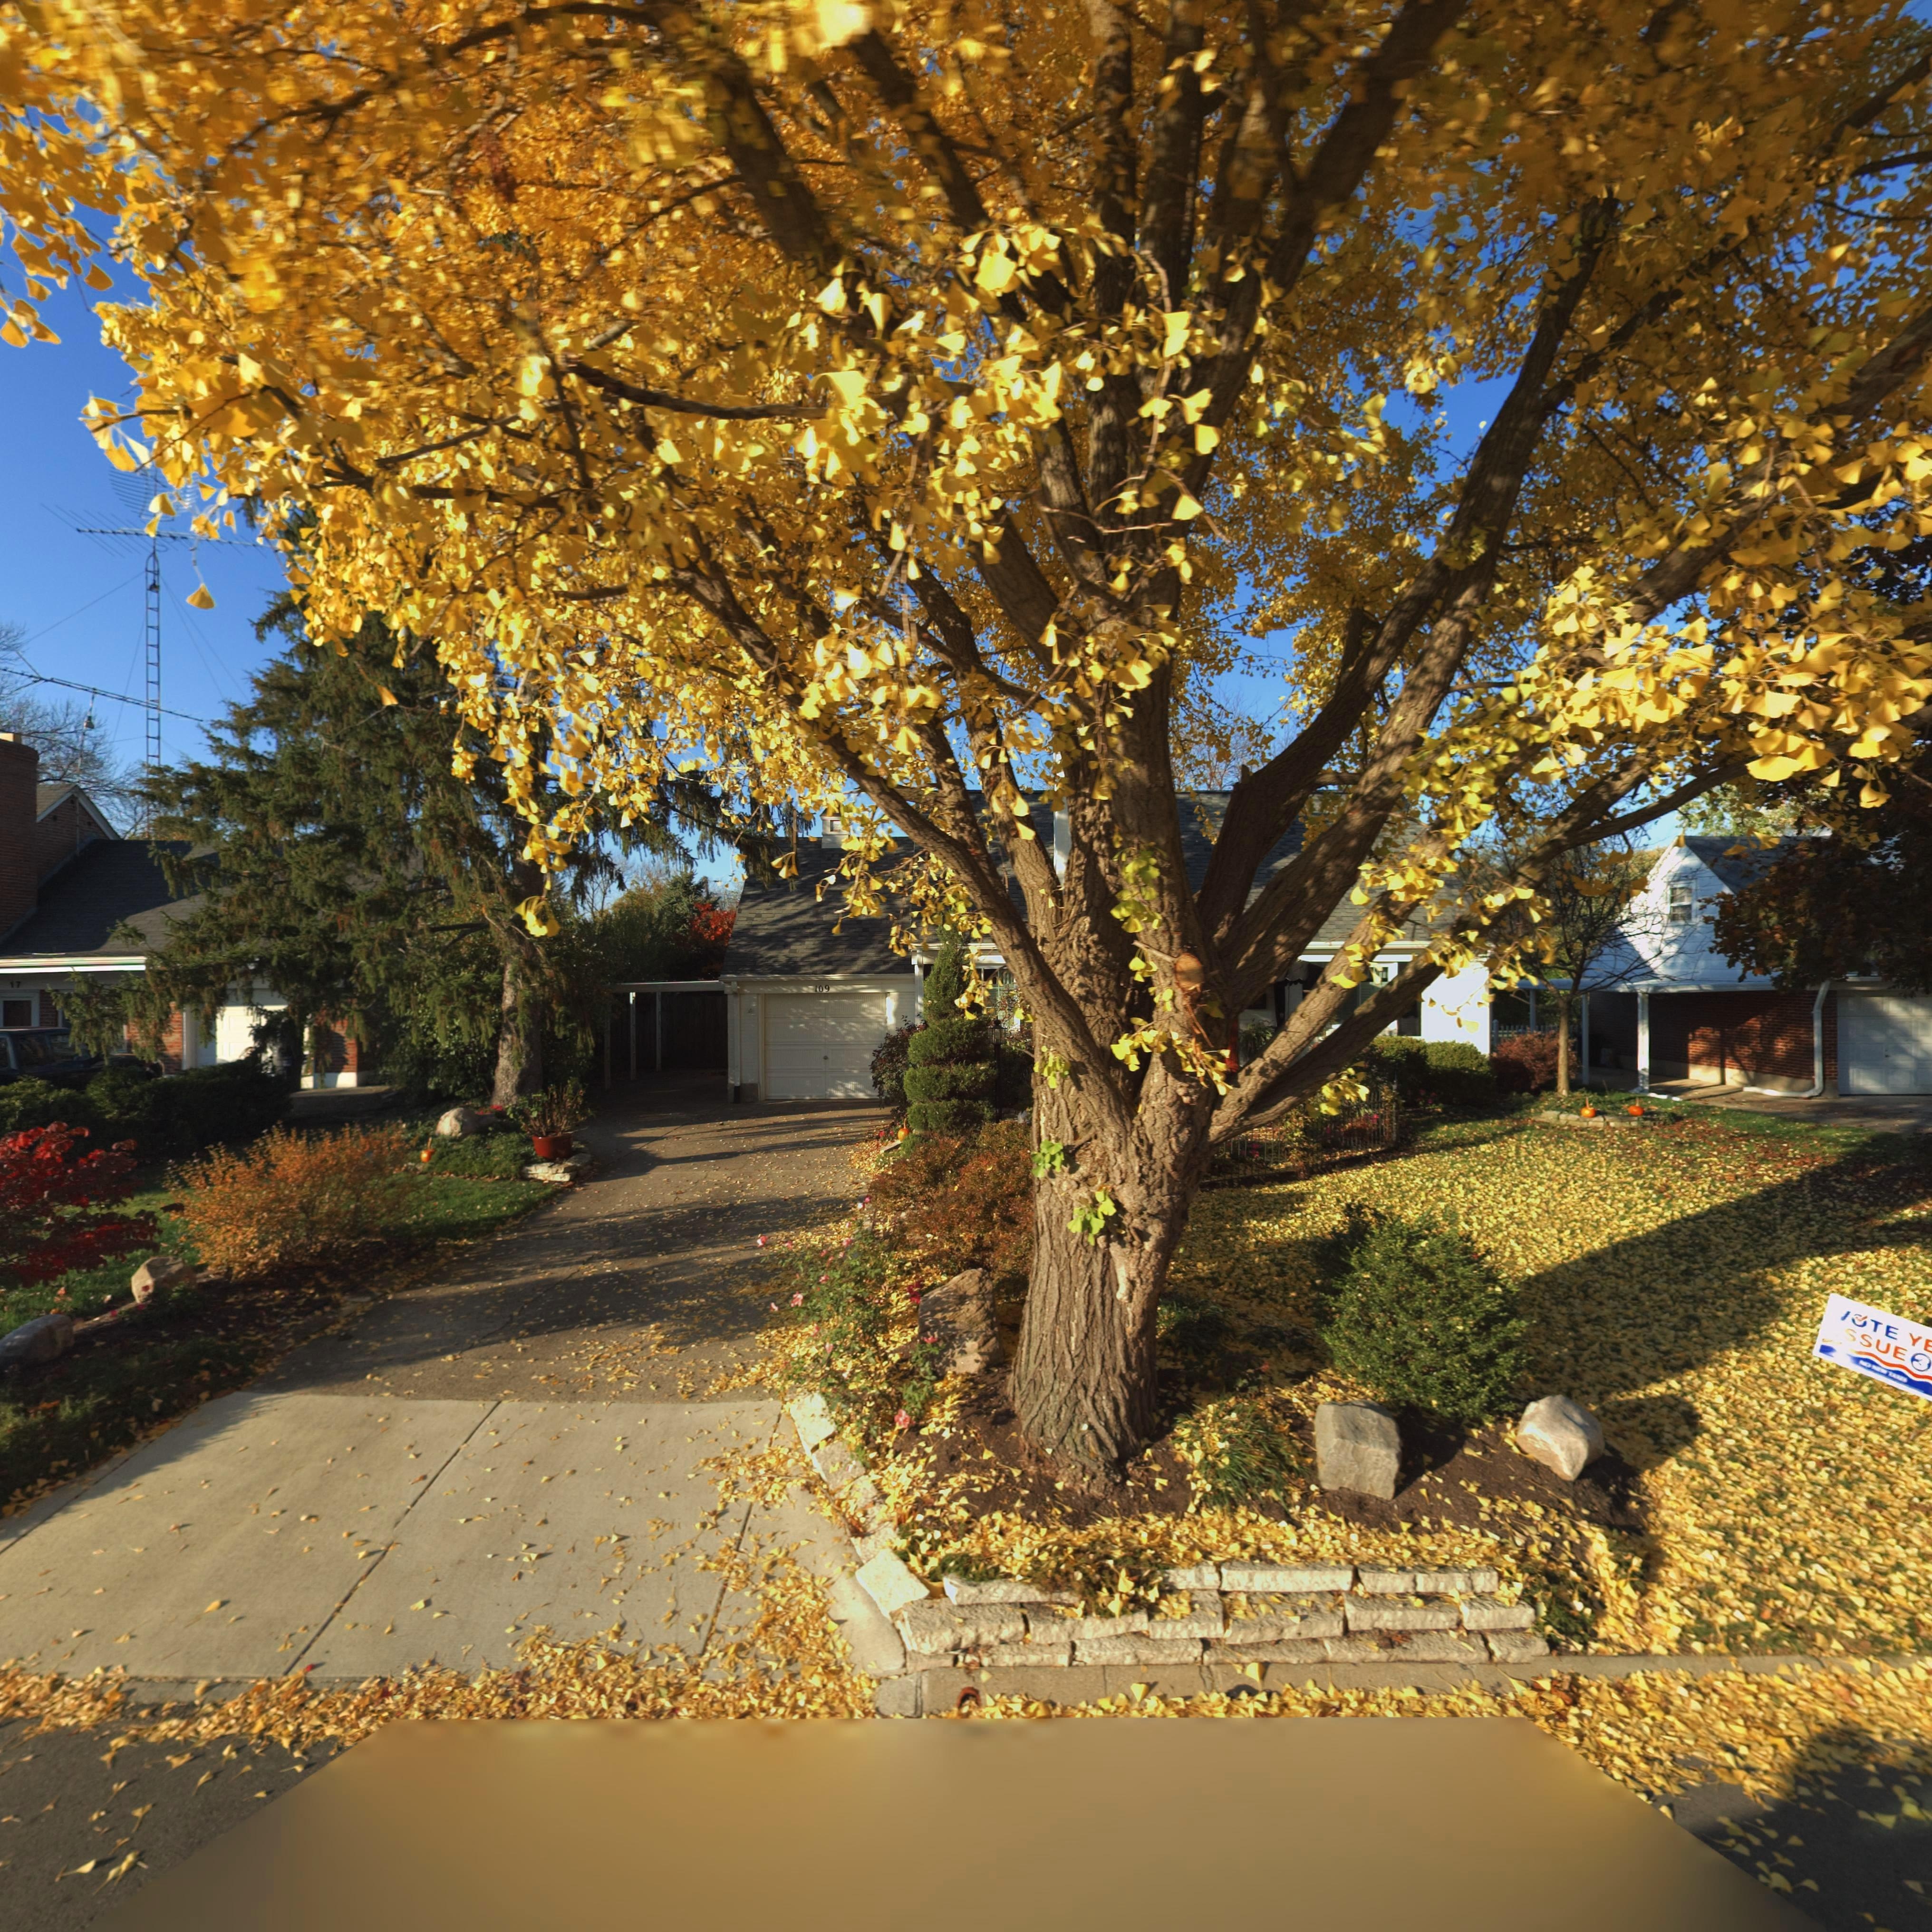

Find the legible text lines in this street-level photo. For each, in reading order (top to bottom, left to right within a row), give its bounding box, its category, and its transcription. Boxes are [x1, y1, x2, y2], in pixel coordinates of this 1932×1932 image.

[814, 984, 831, 993] StreetNumber: 109